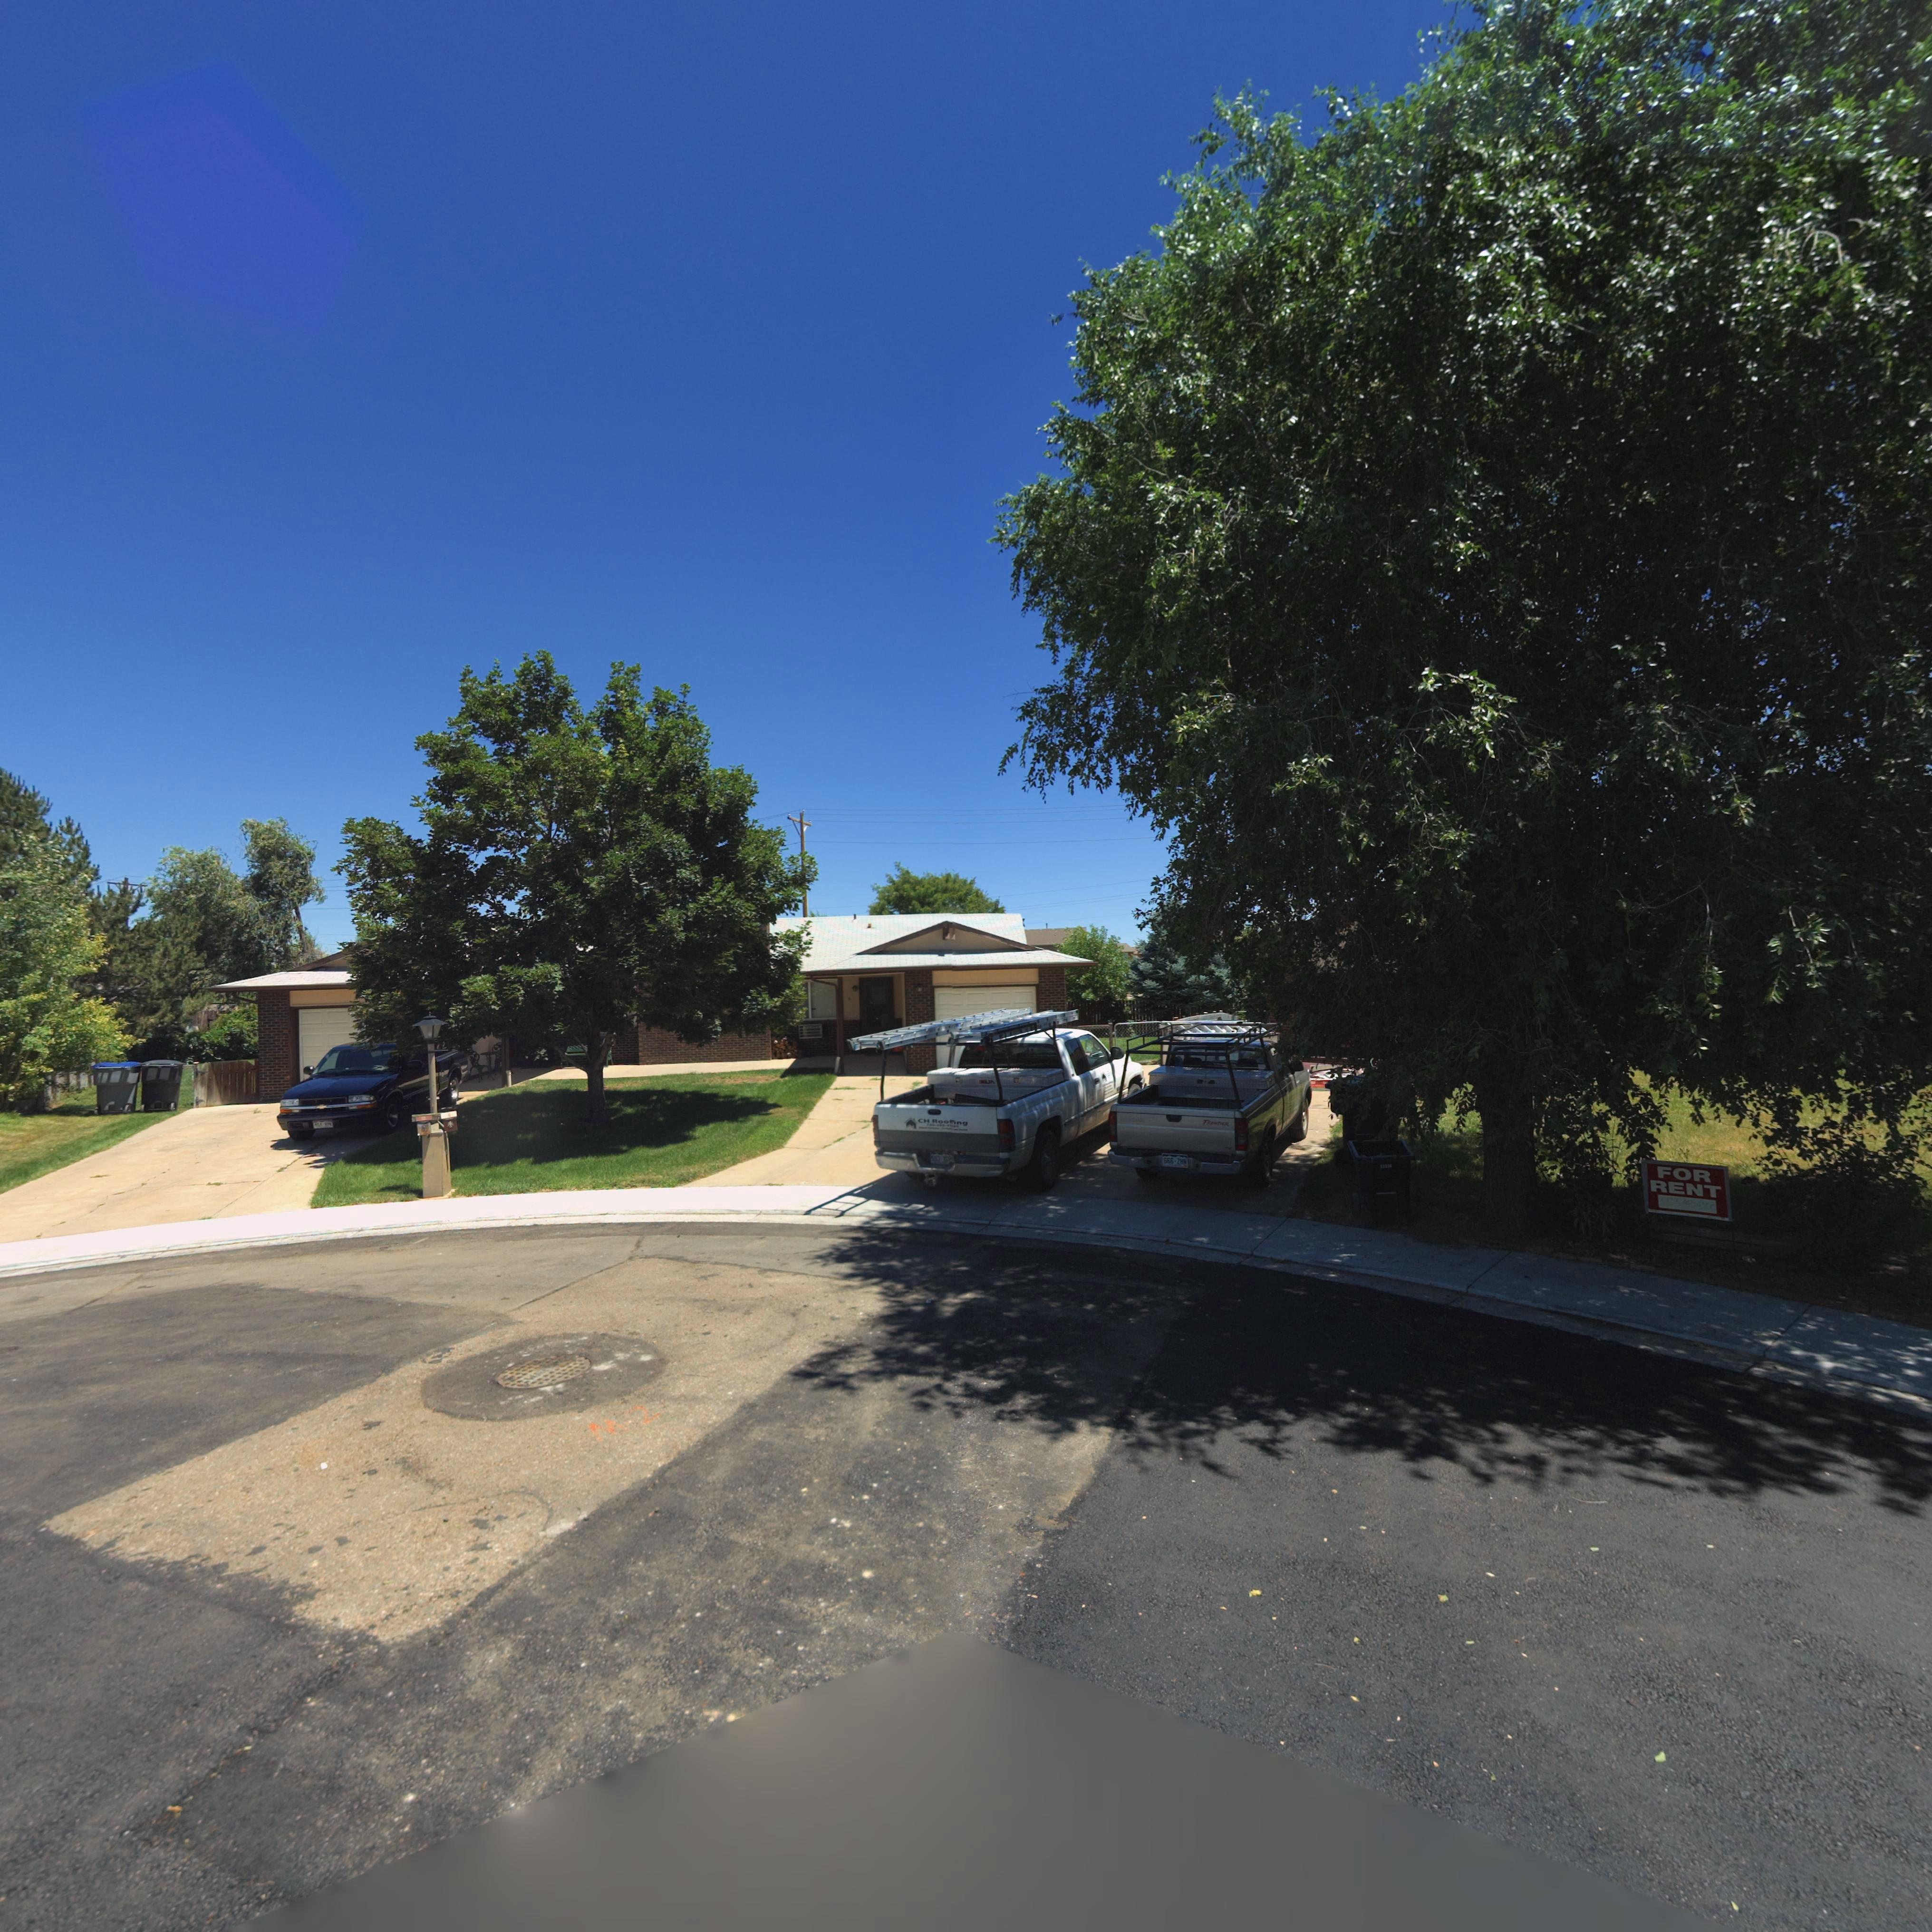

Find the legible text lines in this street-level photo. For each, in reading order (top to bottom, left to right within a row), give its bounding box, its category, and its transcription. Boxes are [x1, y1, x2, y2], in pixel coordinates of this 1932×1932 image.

[848, 996, 850, 1001] StreetNumber: 6
[447, 1112, 451, 1117] StreetNumber: 4